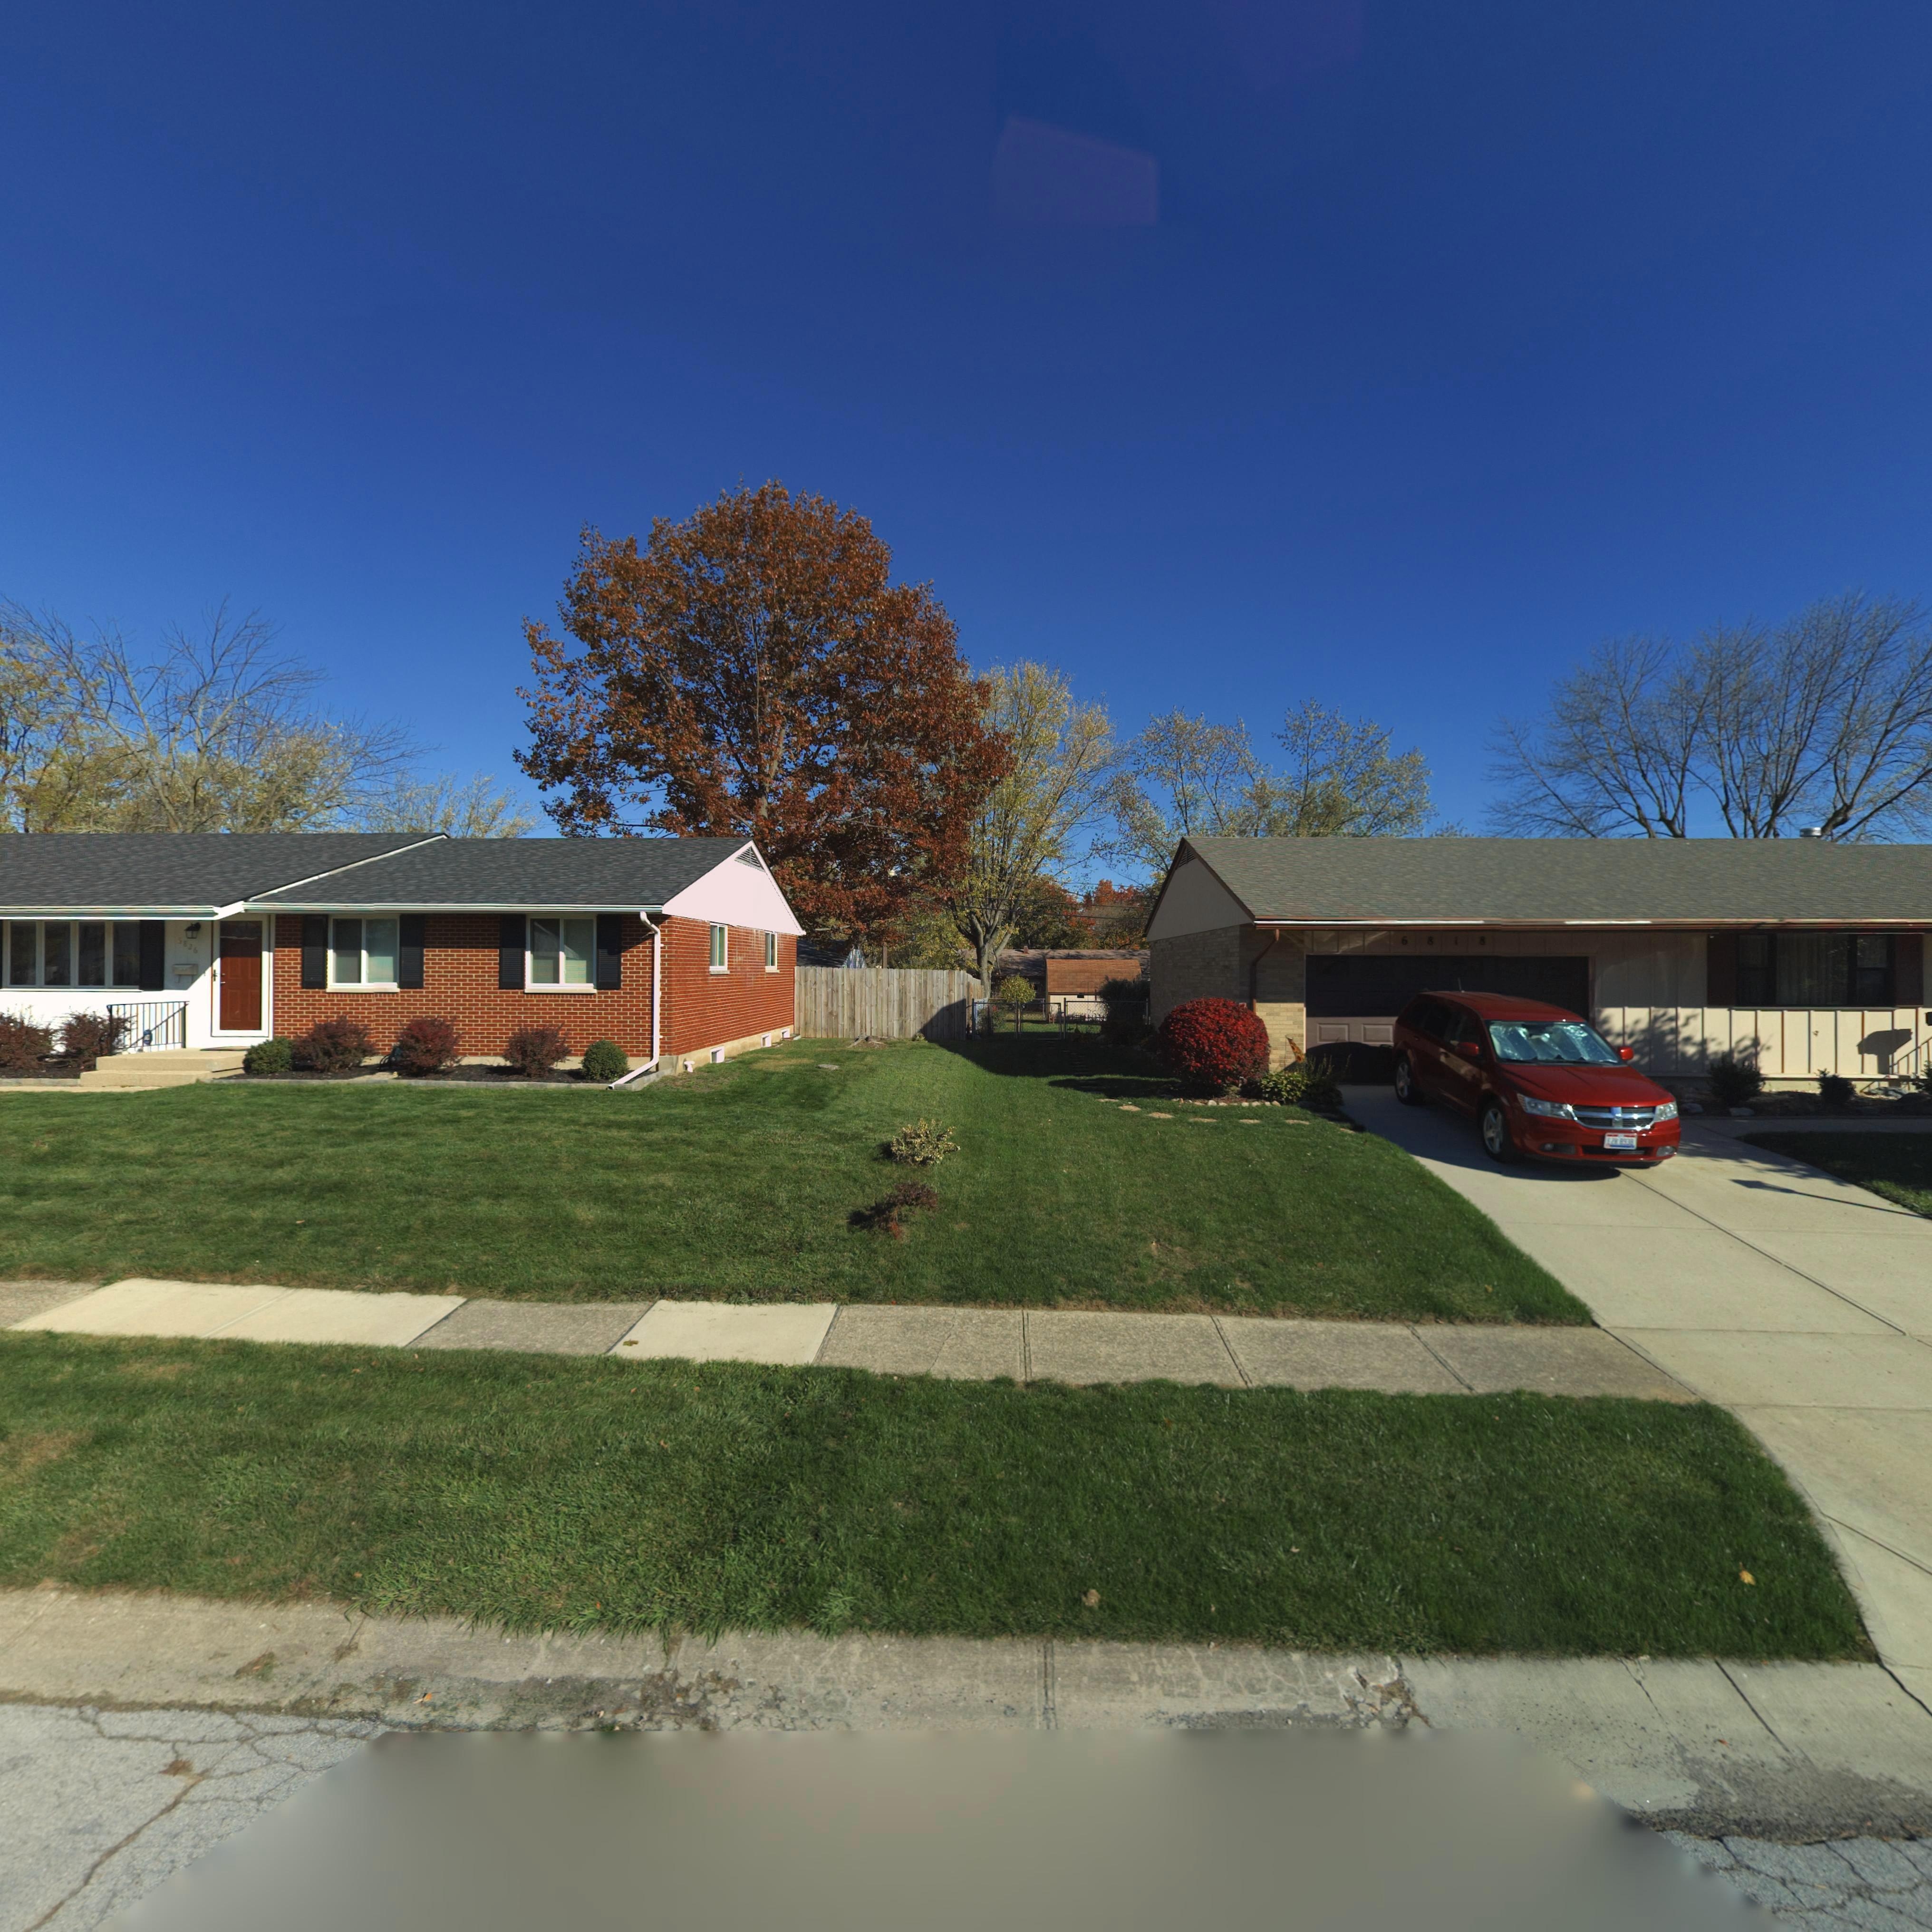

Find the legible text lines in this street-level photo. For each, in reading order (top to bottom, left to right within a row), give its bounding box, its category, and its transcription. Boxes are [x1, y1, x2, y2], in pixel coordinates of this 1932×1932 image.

[176, 936, 198, 954] StreetNumber: *826
[1401, 935, 1486, 946] StreetNumber: 6818
[1606, 1137, 1634, 1146] None: EZR*8938